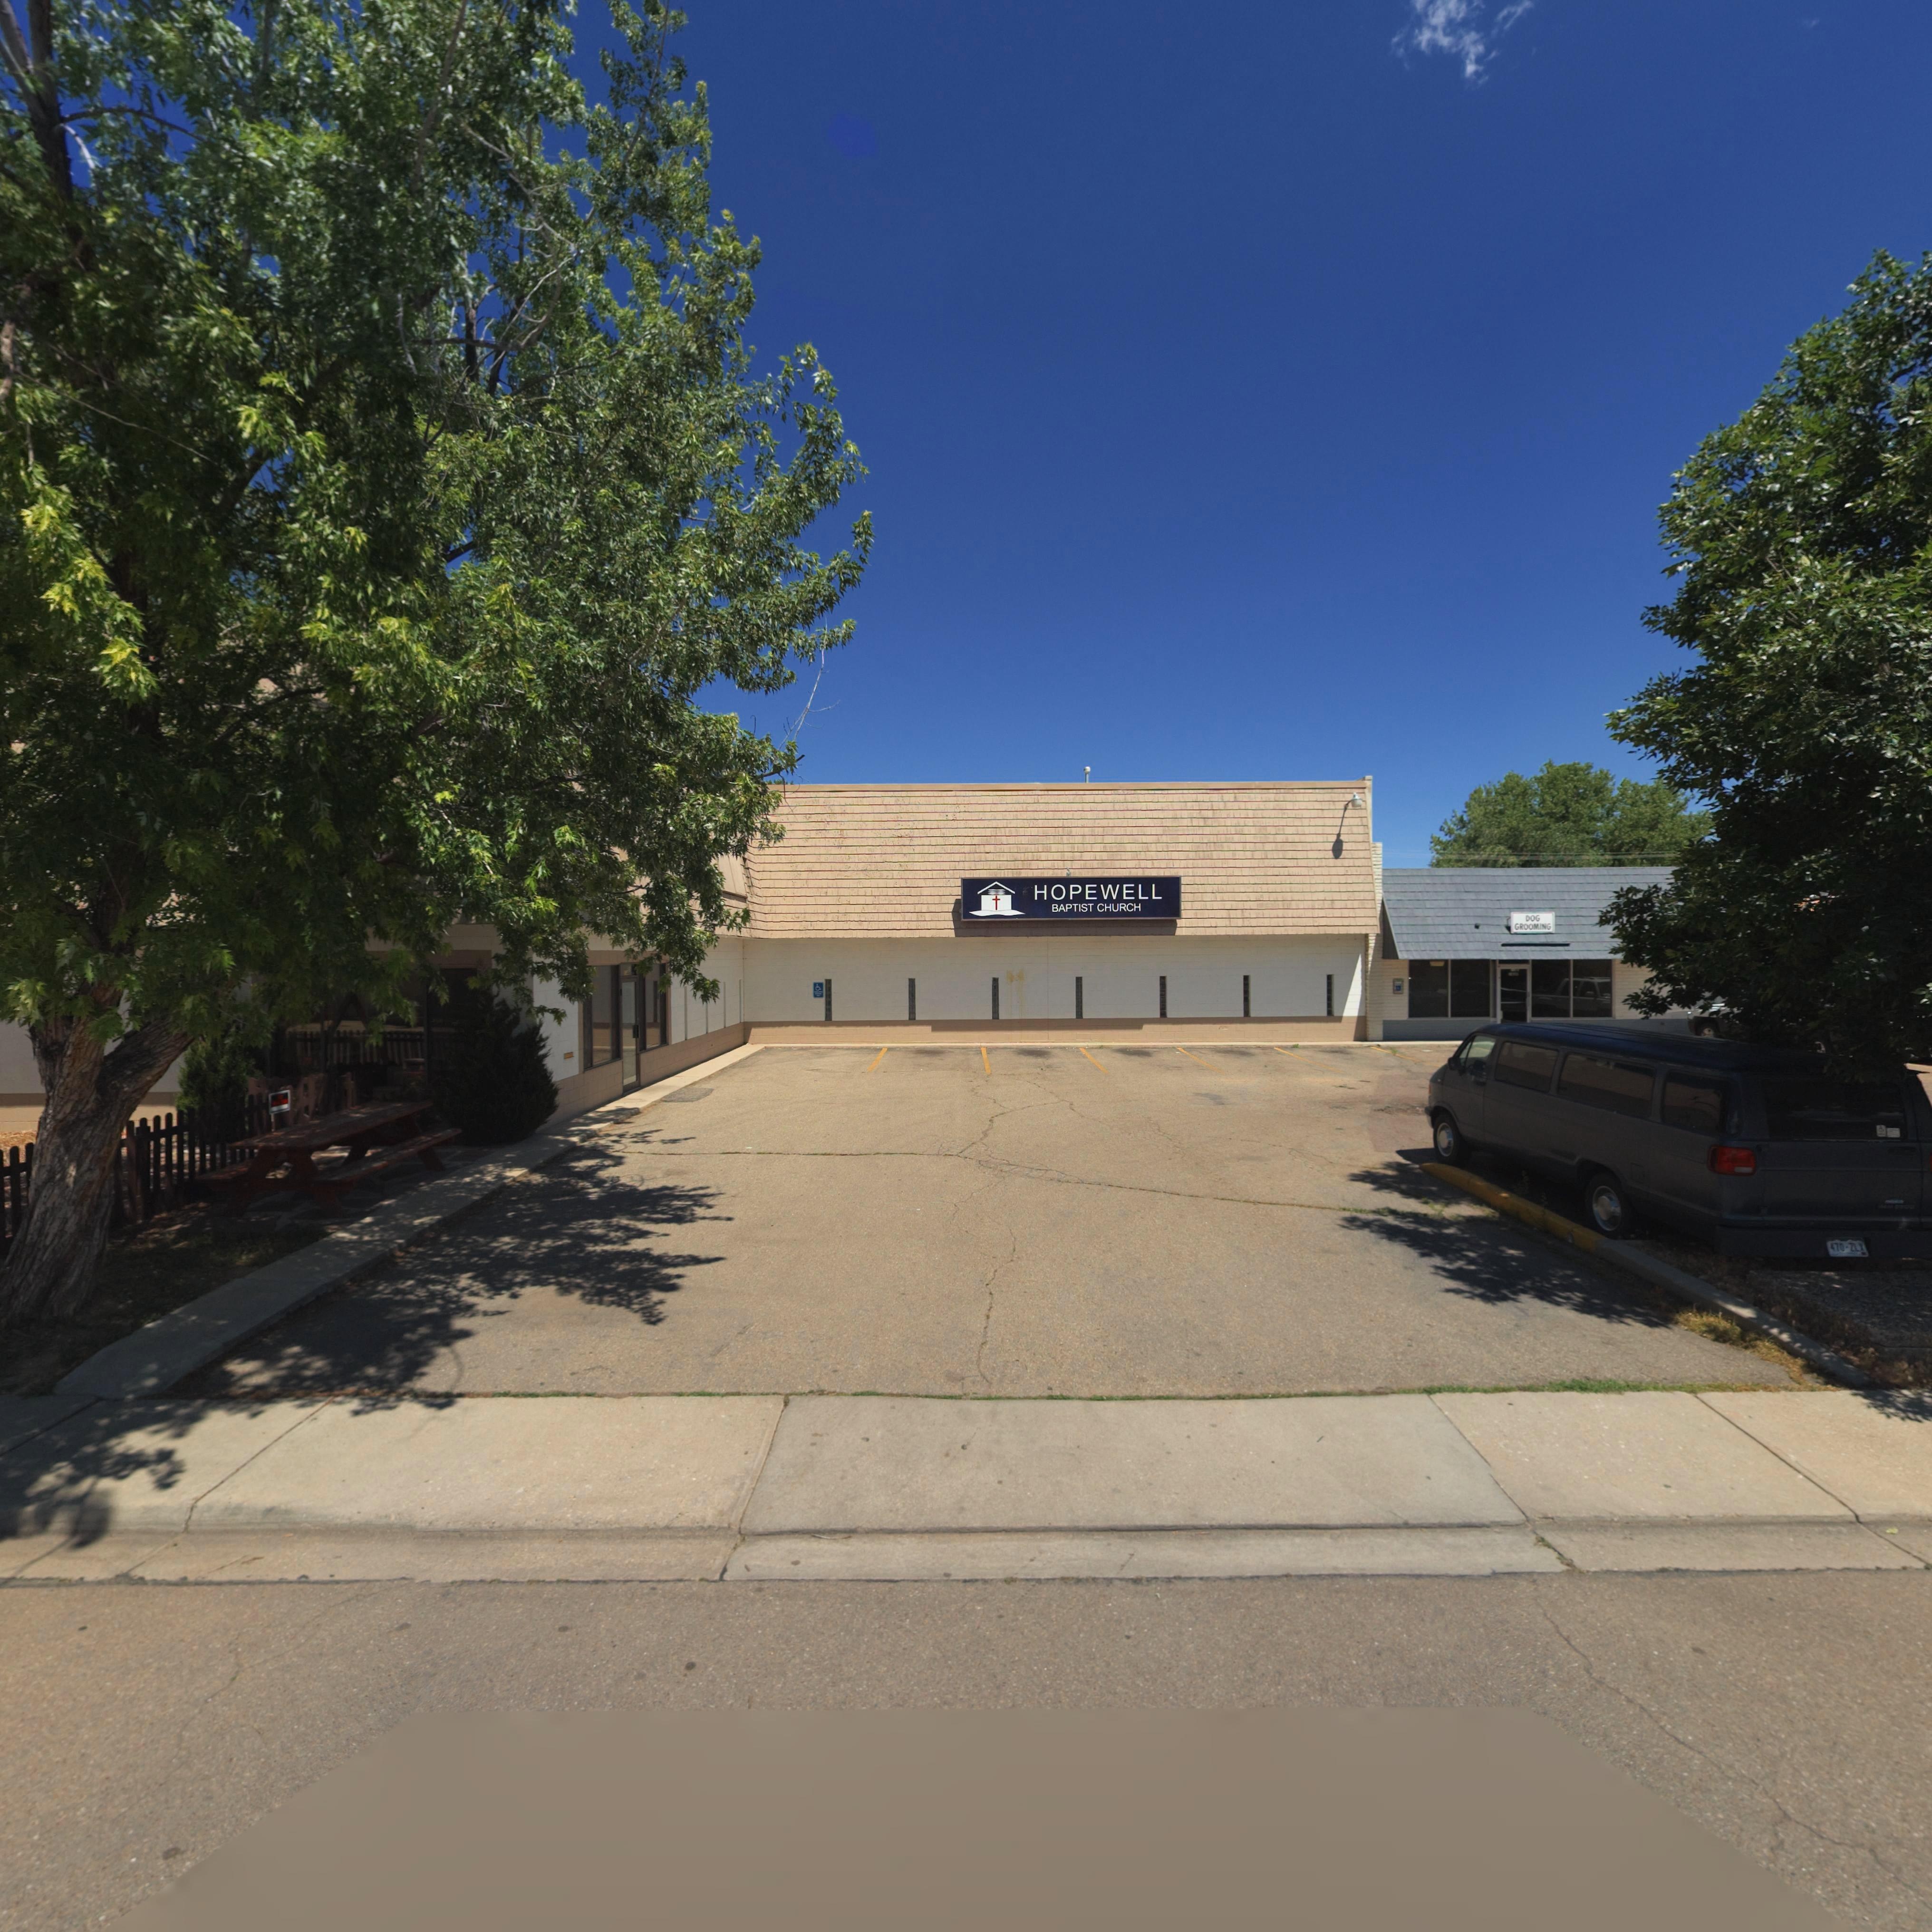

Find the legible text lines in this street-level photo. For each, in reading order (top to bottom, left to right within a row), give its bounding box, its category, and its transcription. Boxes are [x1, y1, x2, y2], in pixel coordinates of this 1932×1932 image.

[1034, 883, 1163, 900] BusinessName: HOPEWELL
[1052, 903, 1141, 912] BusinessName: BAPTIST CHURCH